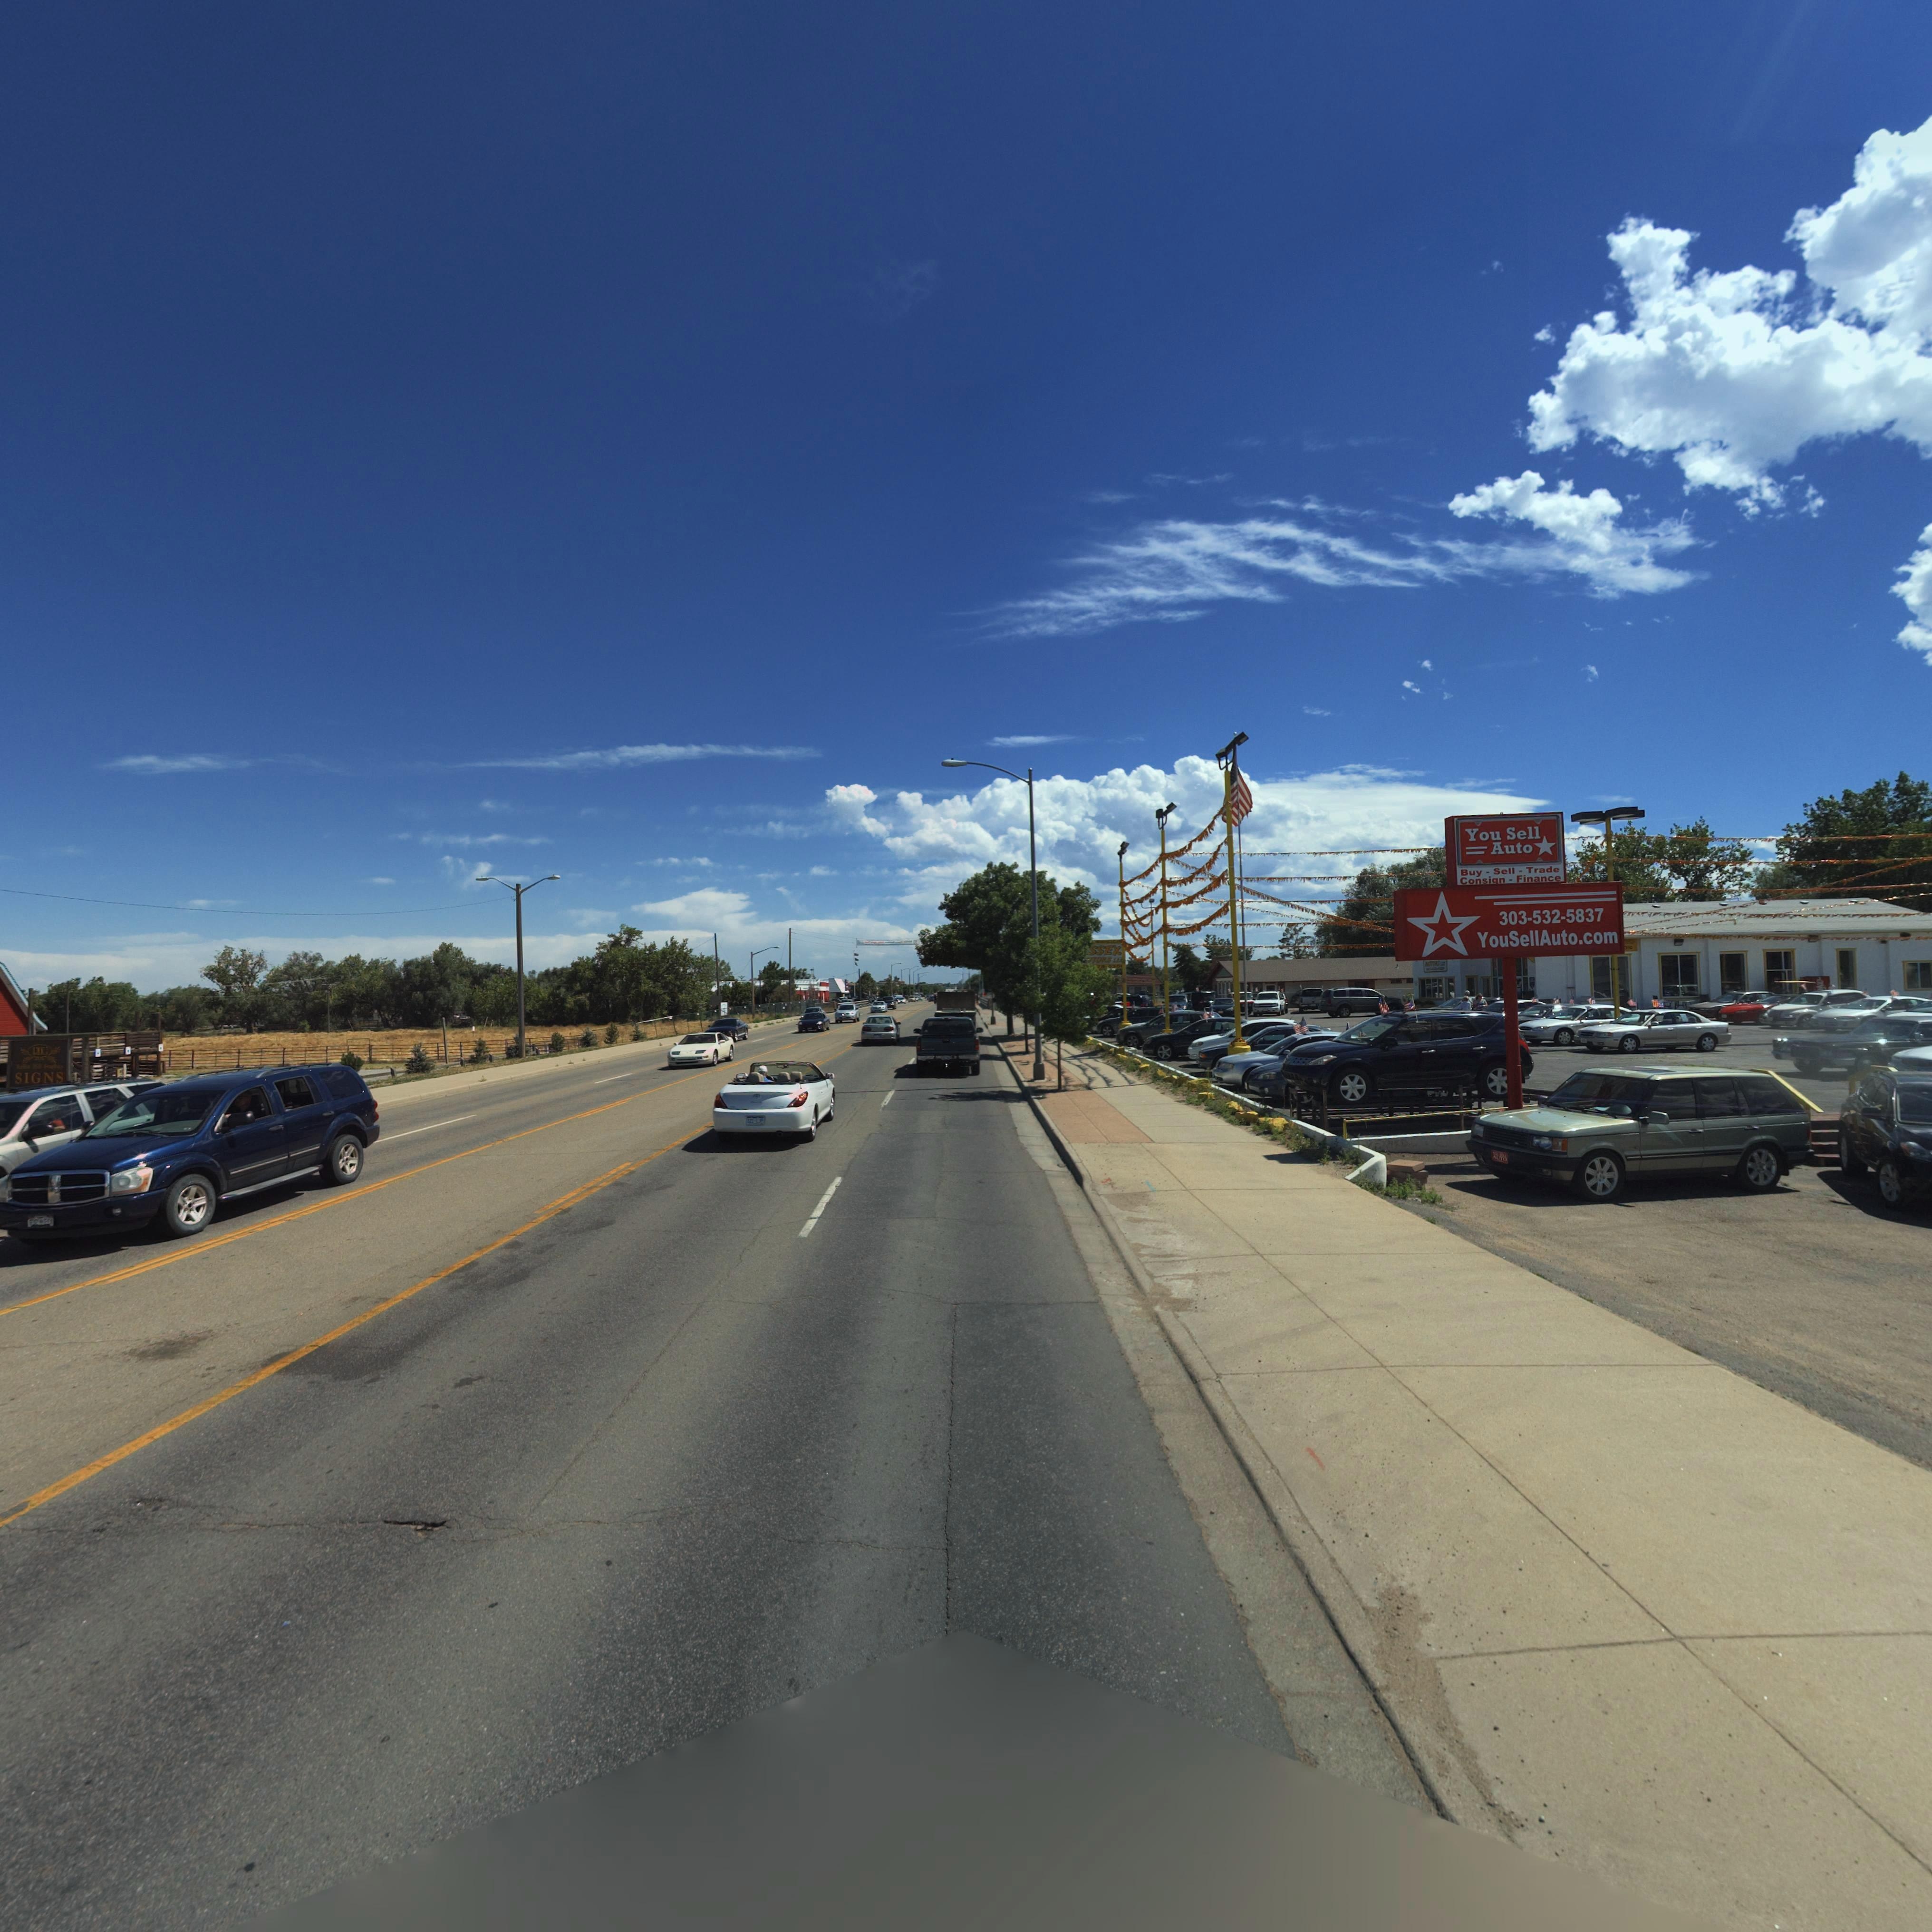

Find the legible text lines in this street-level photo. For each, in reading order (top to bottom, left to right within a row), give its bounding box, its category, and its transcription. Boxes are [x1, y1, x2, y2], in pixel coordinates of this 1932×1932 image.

[1464, 825, 1541, 841] BusinessName: You Sell
[1490, 841, 1533, 855] BusinessName: Auto
[1085, 945, 1122, 956] BusinessName: SSEX
[1091, 956, 1112, 964] BusinessName: TORS
[1424, 960, 1440, 967] BusinessName: MOTORS
[14, 1071, 64, 1084] BusinessName: SIGNS